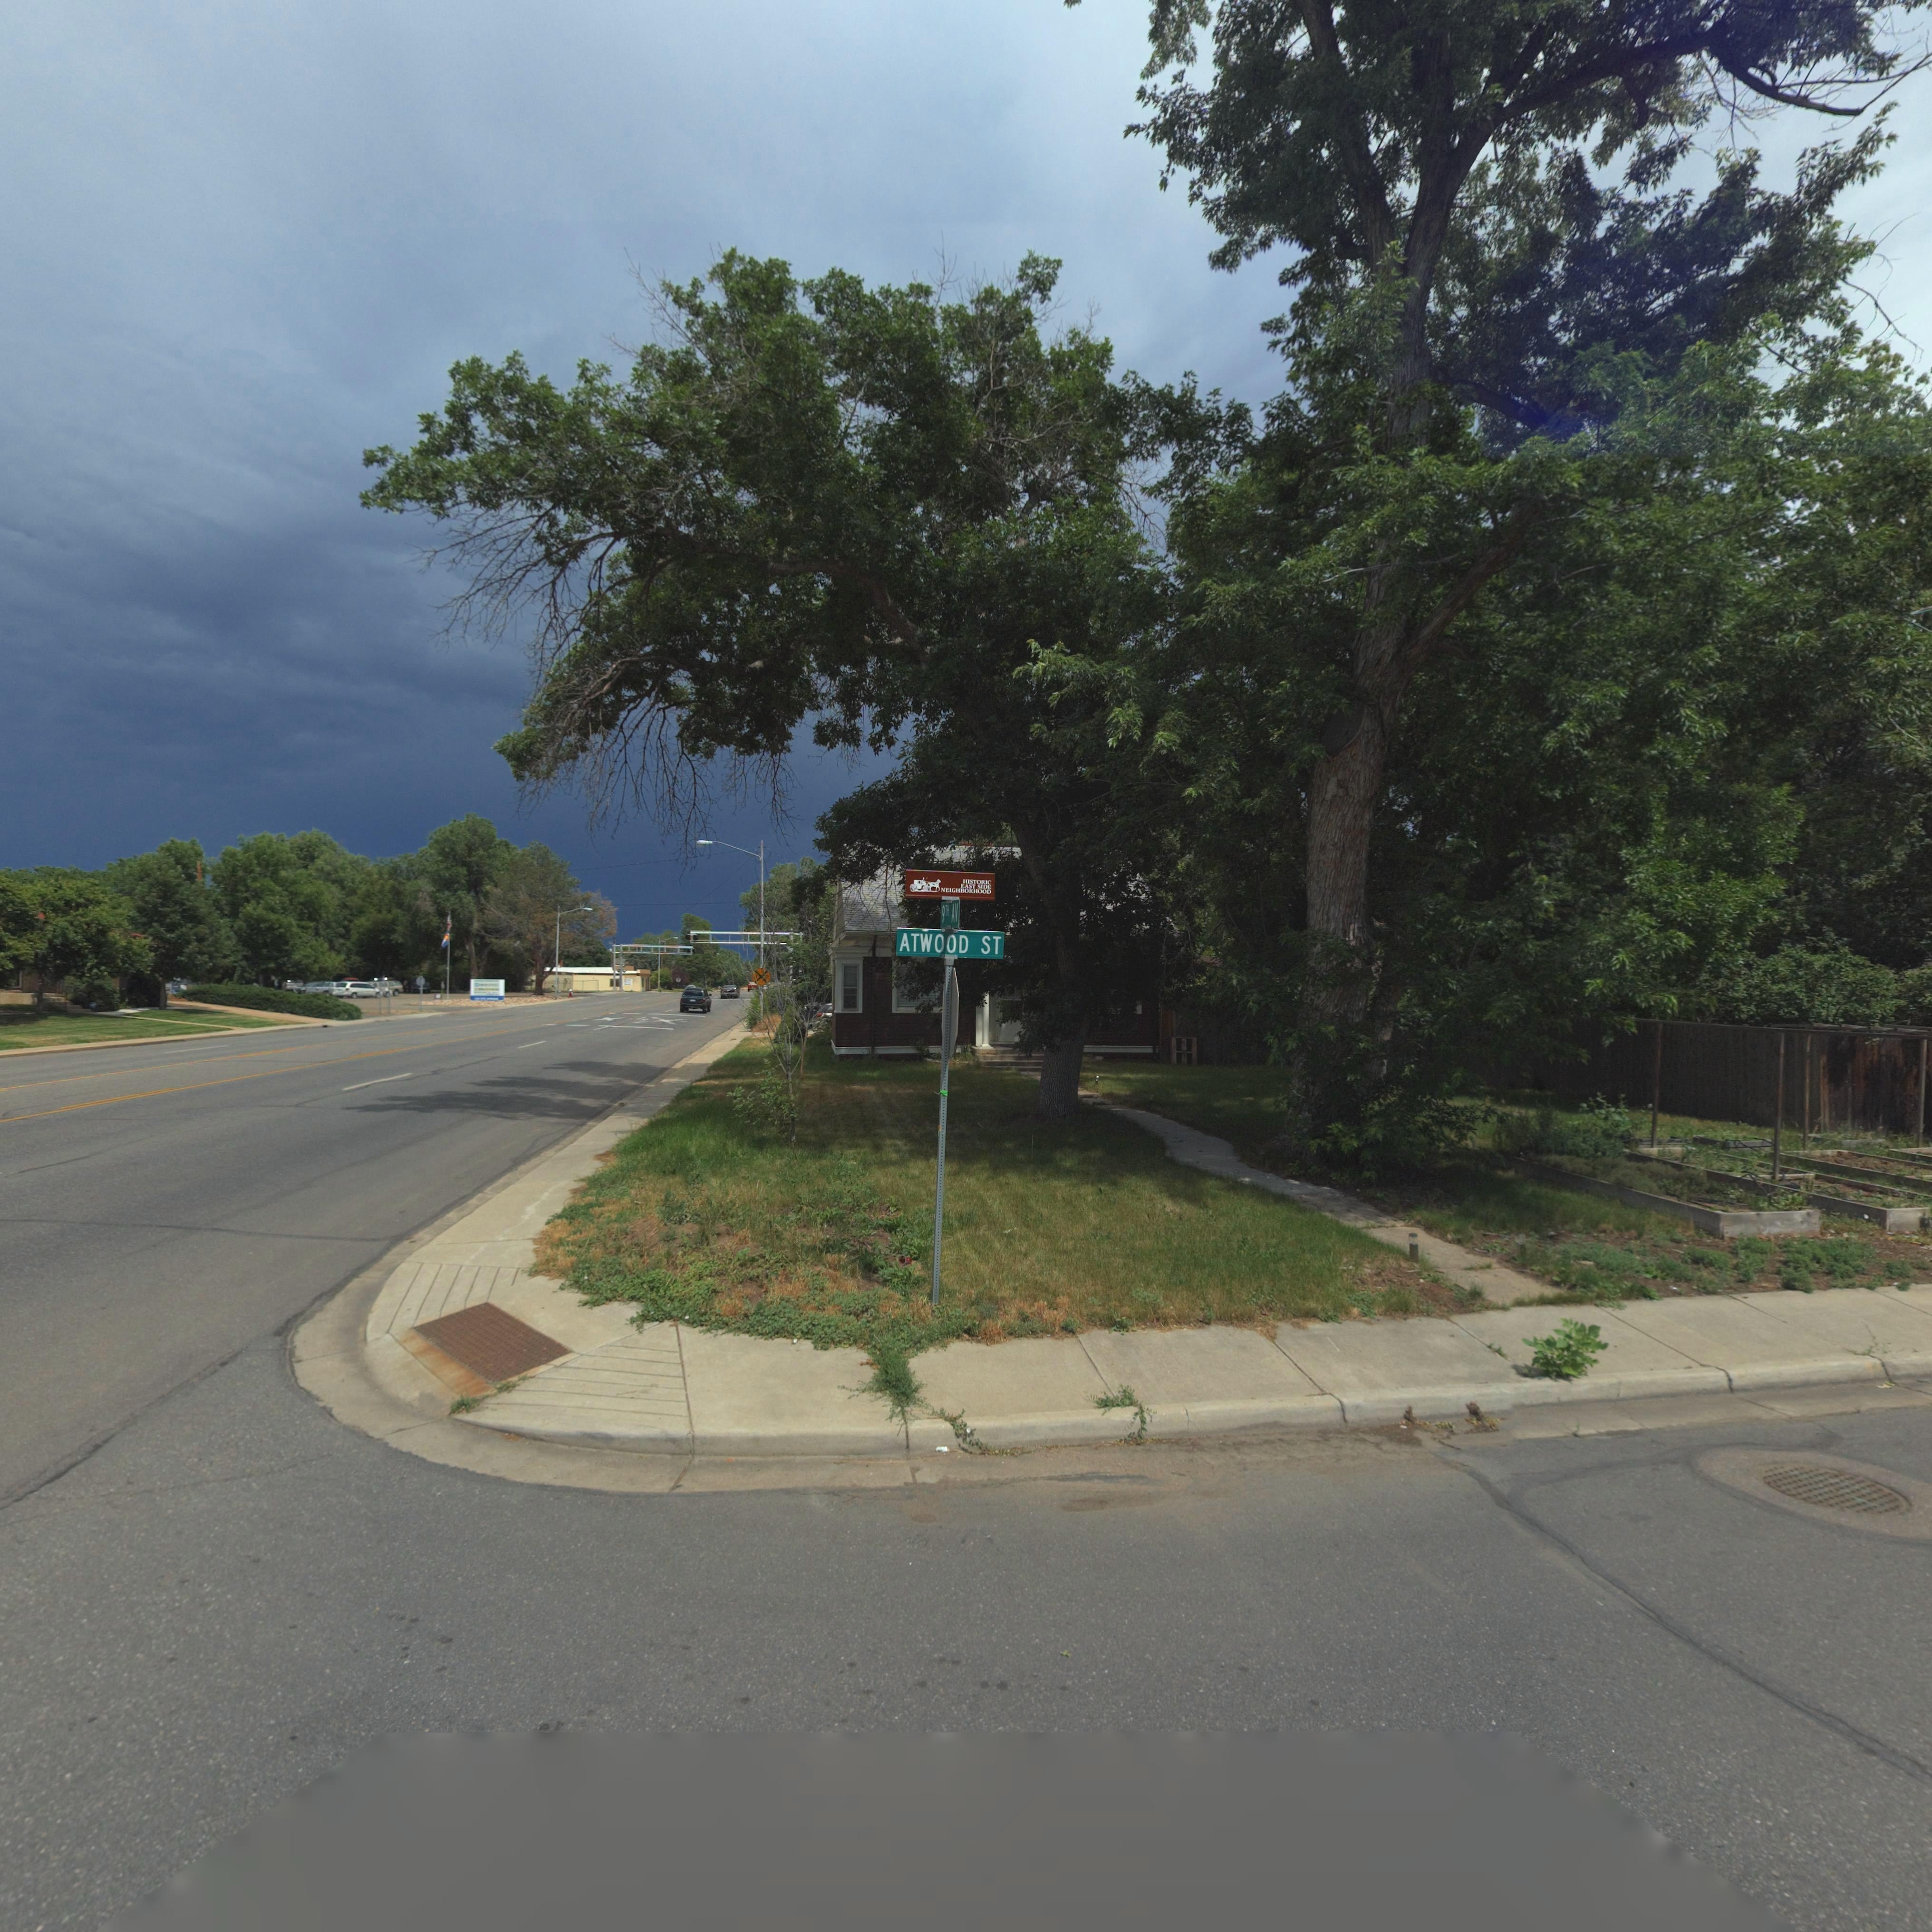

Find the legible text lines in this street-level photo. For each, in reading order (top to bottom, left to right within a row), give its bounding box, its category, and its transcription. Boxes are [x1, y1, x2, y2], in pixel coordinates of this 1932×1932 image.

[941, 902, 958, 923] StreetName: 9TH AV
[898, 932, 1001, 955] StreetName: ATWOOD ST